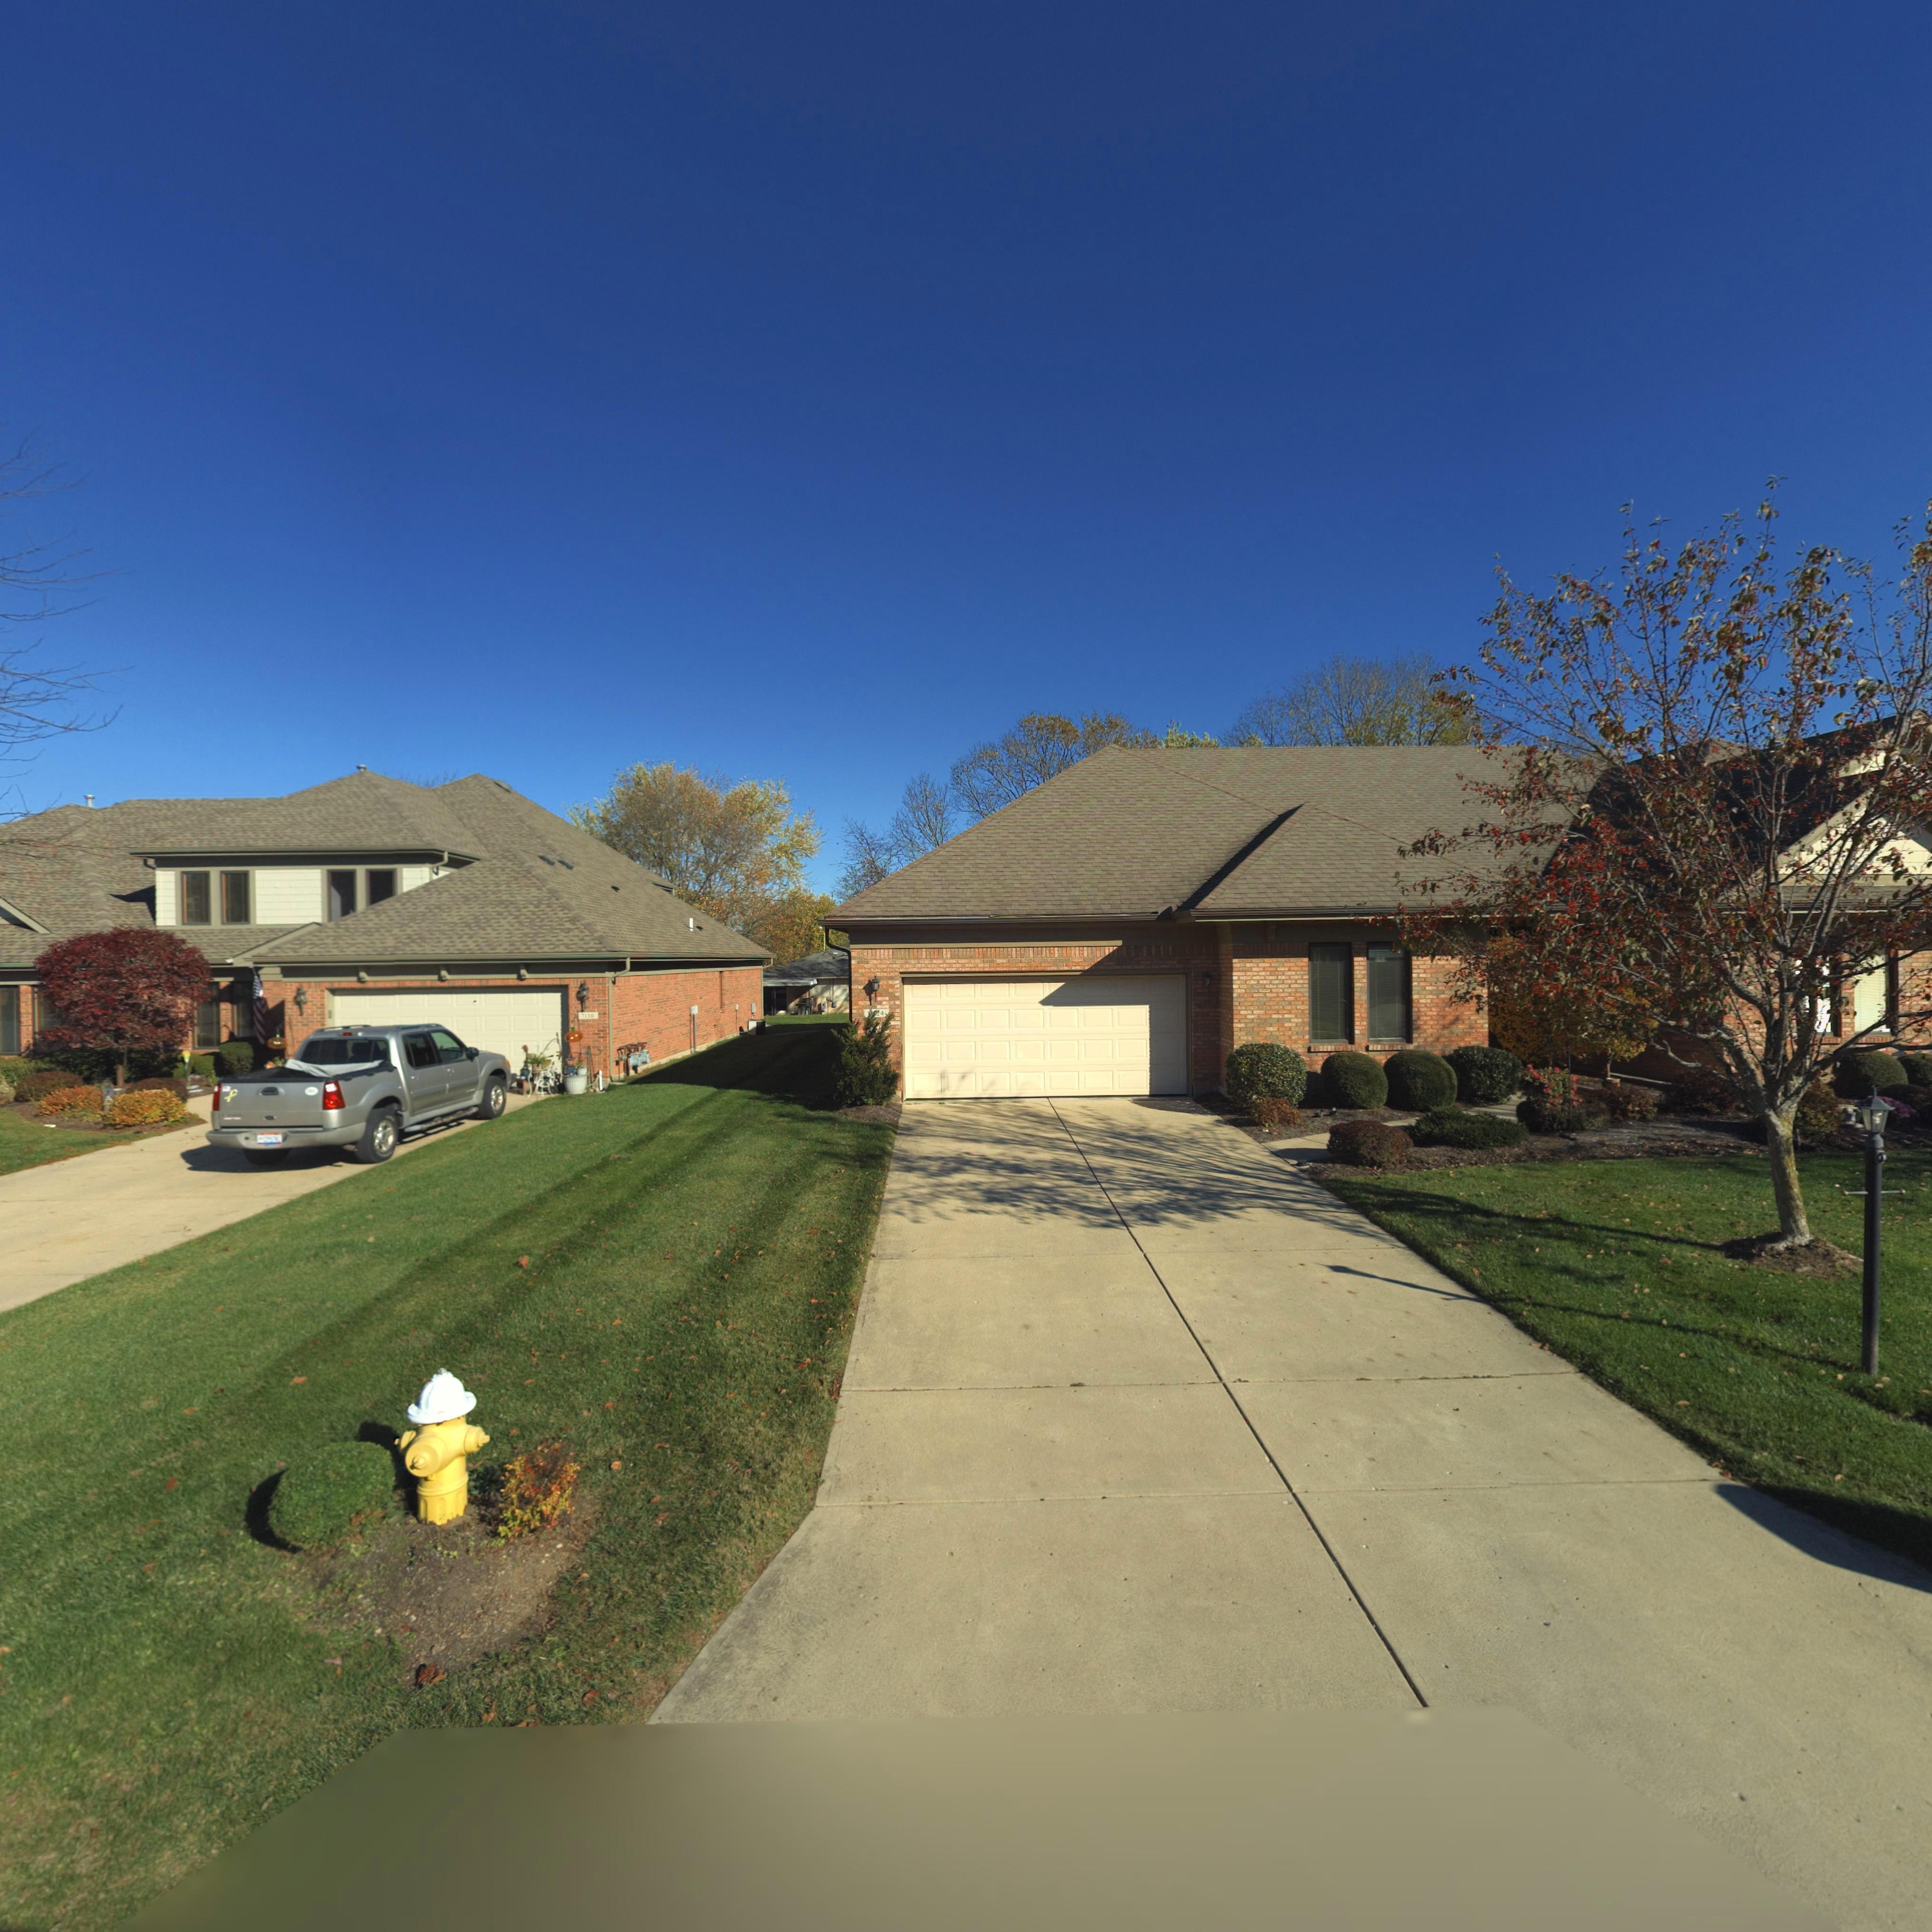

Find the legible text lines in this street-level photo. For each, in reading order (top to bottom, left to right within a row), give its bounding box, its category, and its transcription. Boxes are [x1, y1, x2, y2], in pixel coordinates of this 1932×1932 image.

[581, 1013, 594, 1018] StreetNumber: 7130
[880, 1010, 884, 1016] StreetNumber: 4